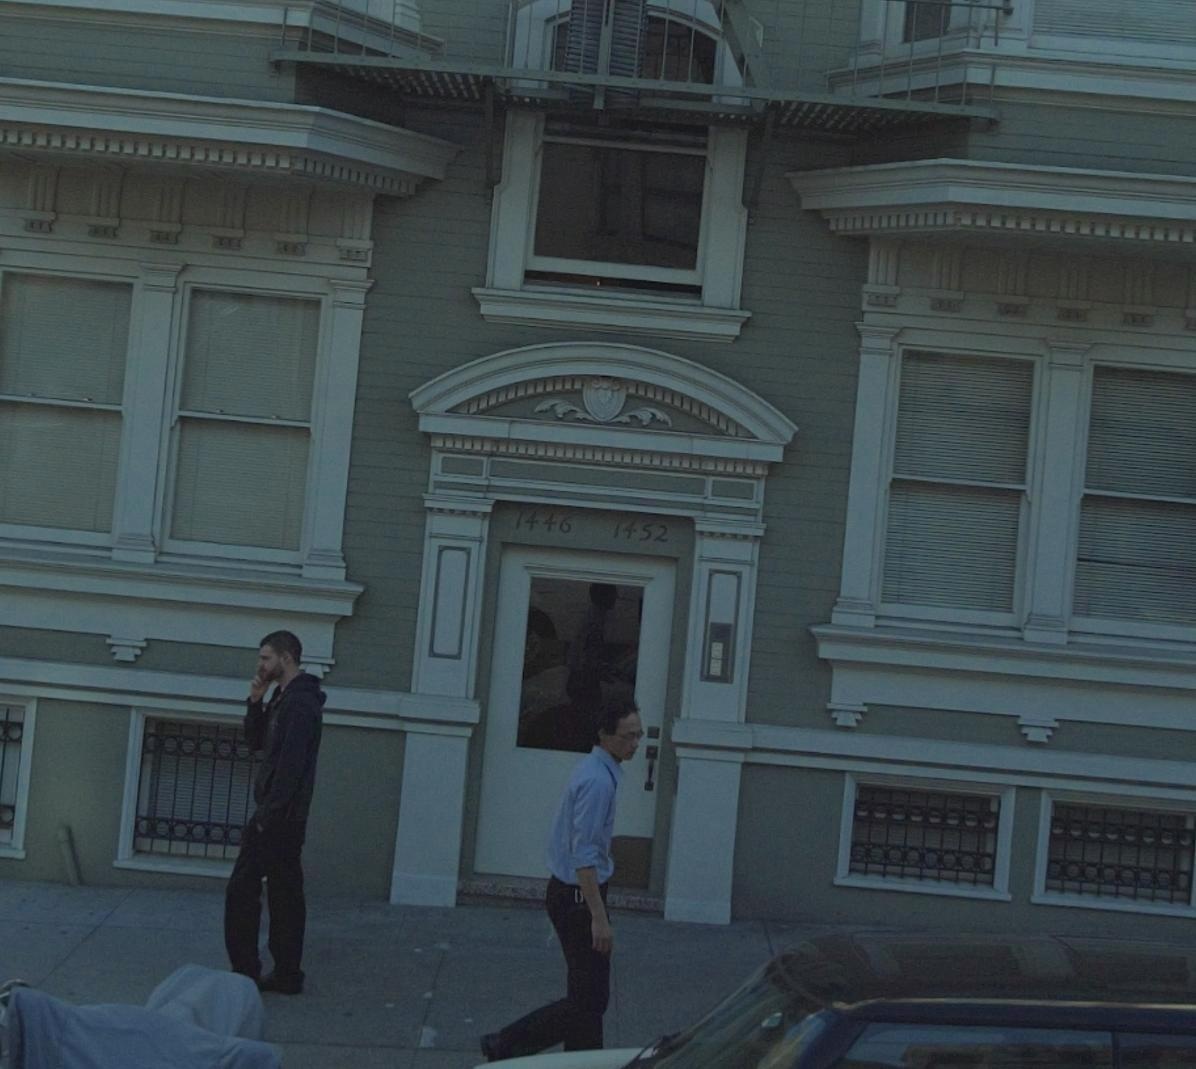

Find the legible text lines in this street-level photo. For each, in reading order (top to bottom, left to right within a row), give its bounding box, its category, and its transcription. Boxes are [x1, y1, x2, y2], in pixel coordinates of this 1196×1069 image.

[512, 509, 574, 535] StreetNumber: 1446
[609, 519, 671, 545] StreetNumber: 1452